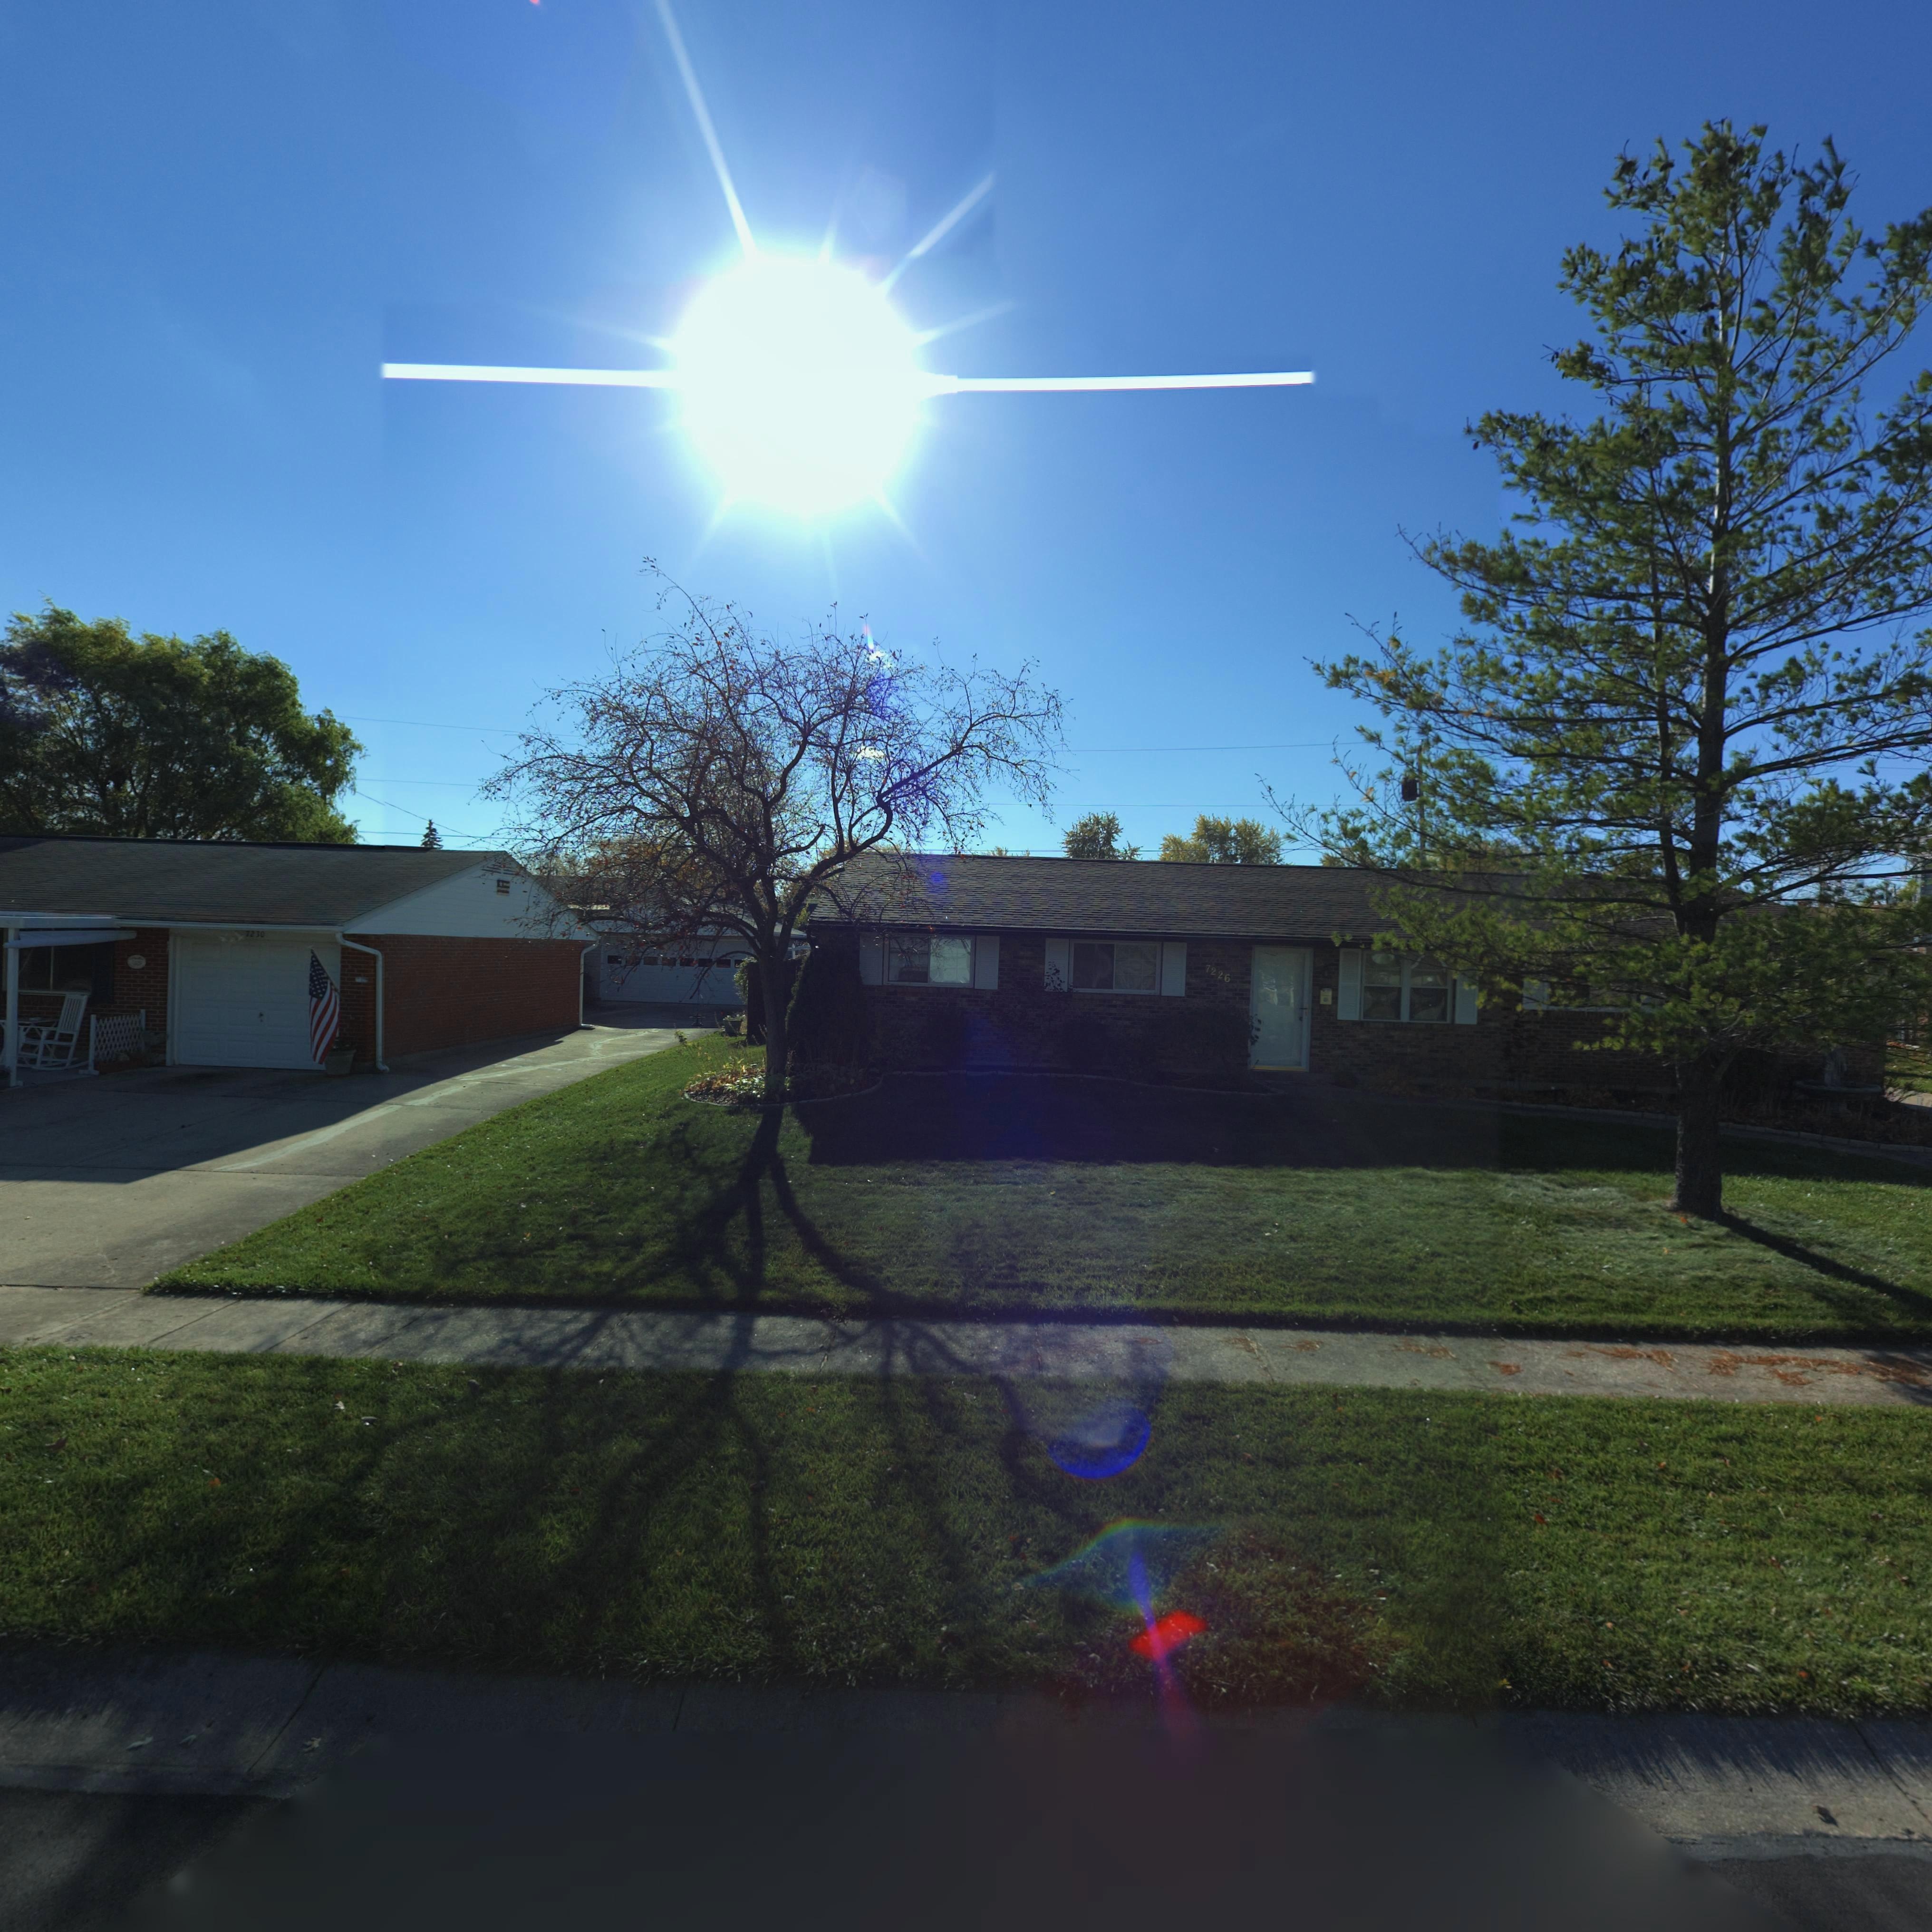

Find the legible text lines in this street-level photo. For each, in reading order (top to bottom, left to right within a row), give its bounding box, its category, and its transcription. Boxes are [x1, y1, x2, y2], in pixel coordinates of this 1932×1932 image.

[245, 929, 266, 938] StreetNumber: 7230
[1204, 964, 1232, 984] StreetNumber: 7226